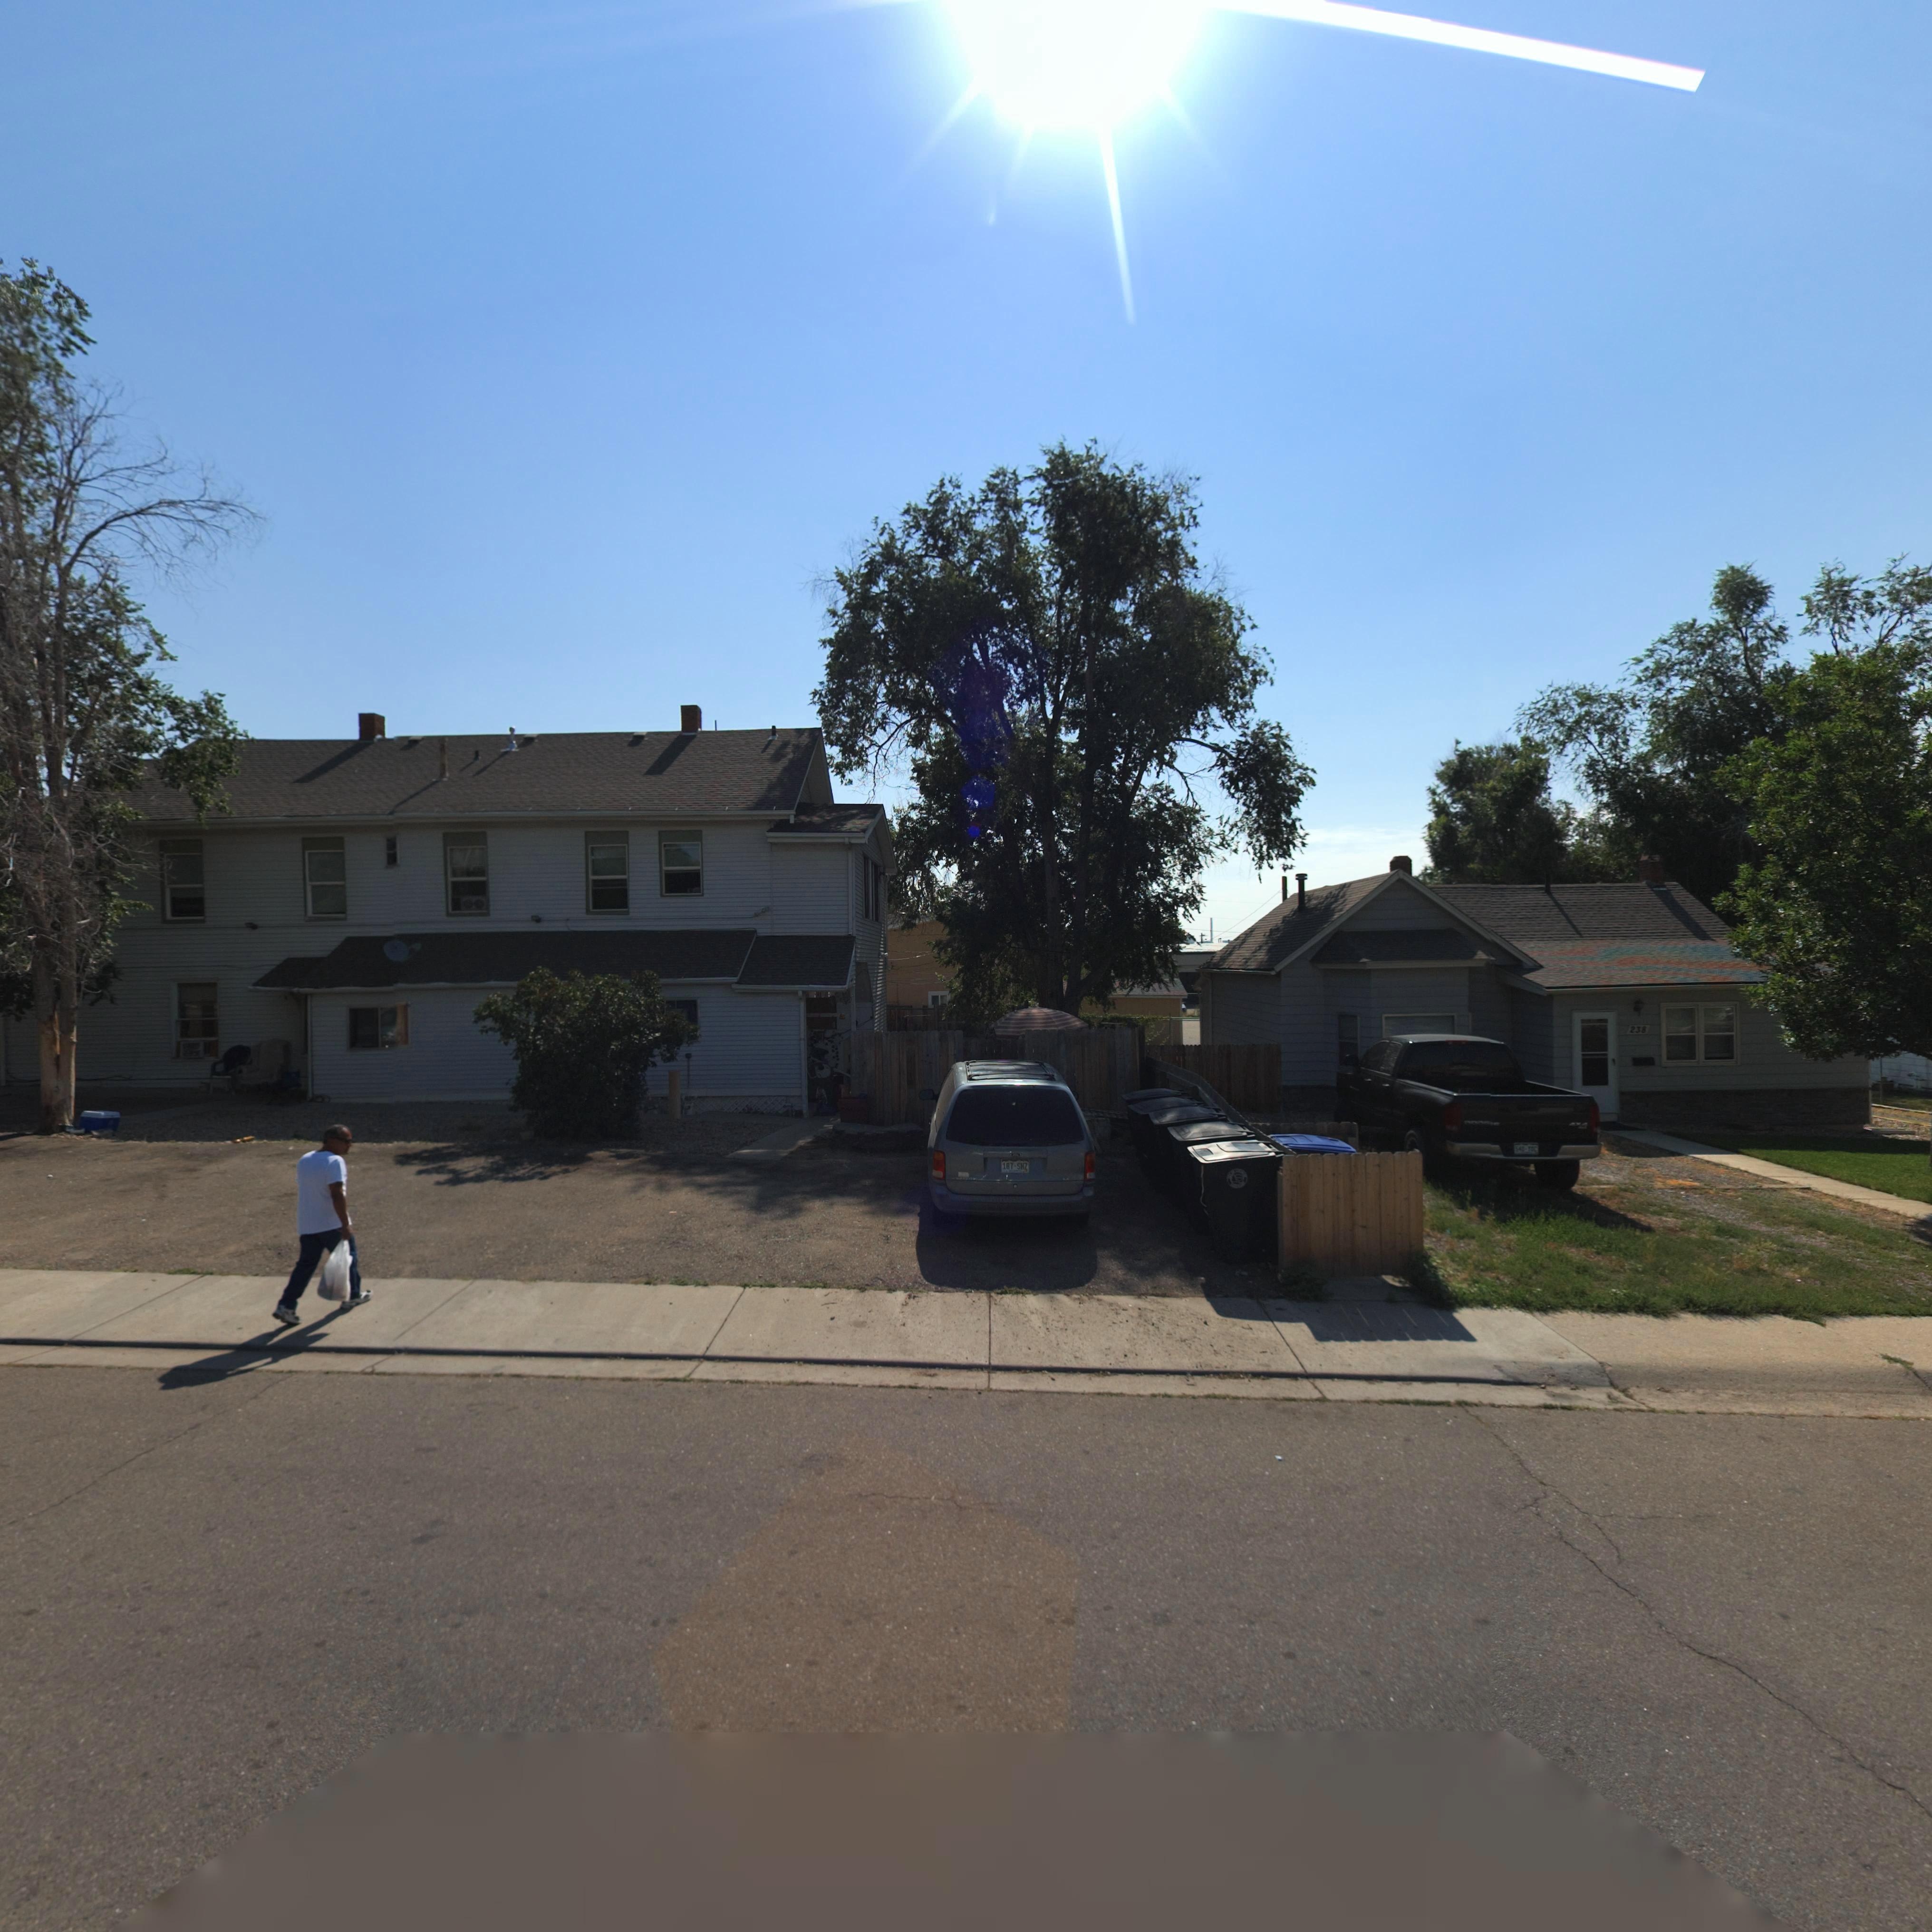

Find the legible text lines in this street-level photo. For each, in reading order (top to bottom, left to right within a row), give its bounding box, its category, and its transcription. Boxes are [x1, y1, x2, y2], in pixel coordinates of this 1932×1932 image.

[1630, 1025, 1647, 1033] StreetNumber: 238